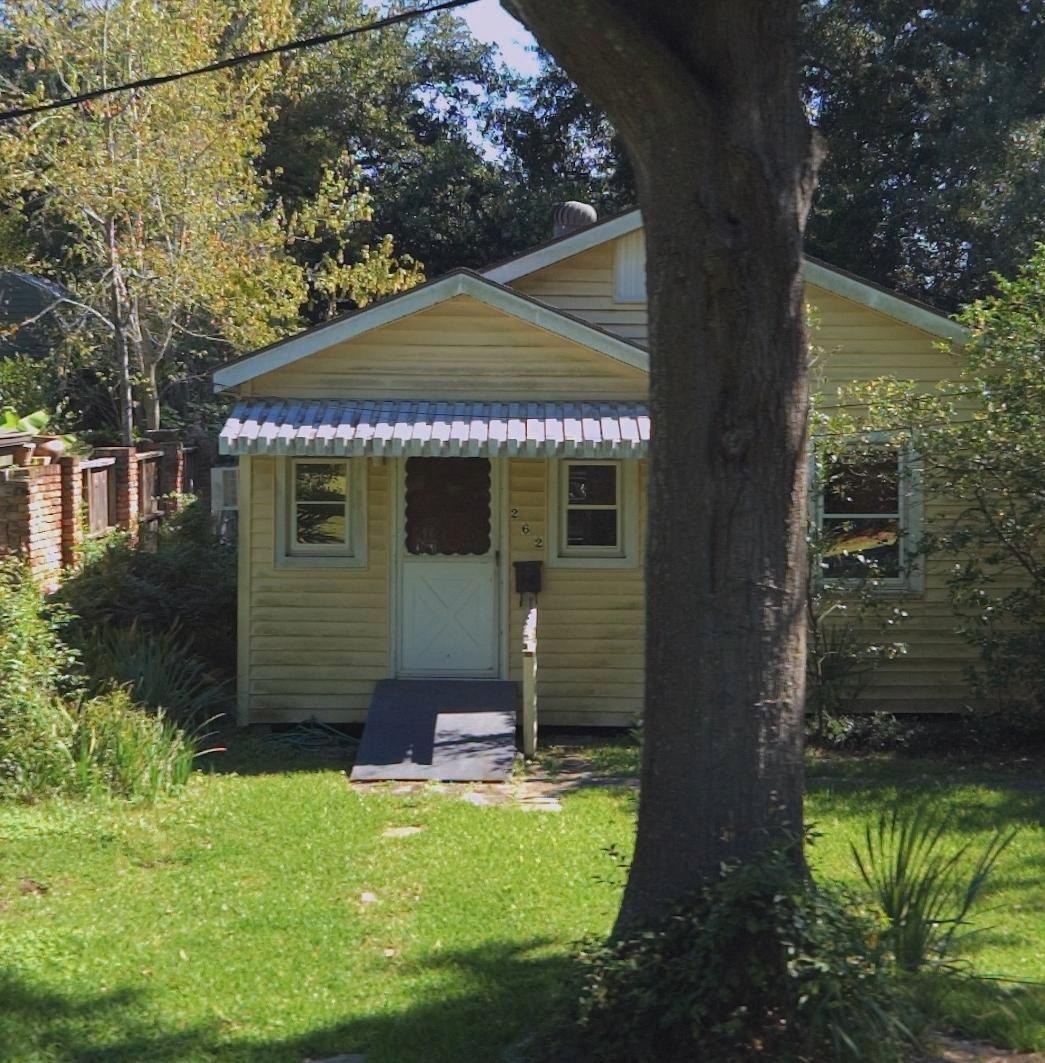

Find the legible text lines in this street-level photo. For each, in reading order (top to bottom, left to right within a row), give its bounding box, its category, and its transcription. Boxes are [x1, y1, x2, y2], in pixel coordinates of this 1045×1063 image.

[510, 508, 543, 549] StreetNumber: 262